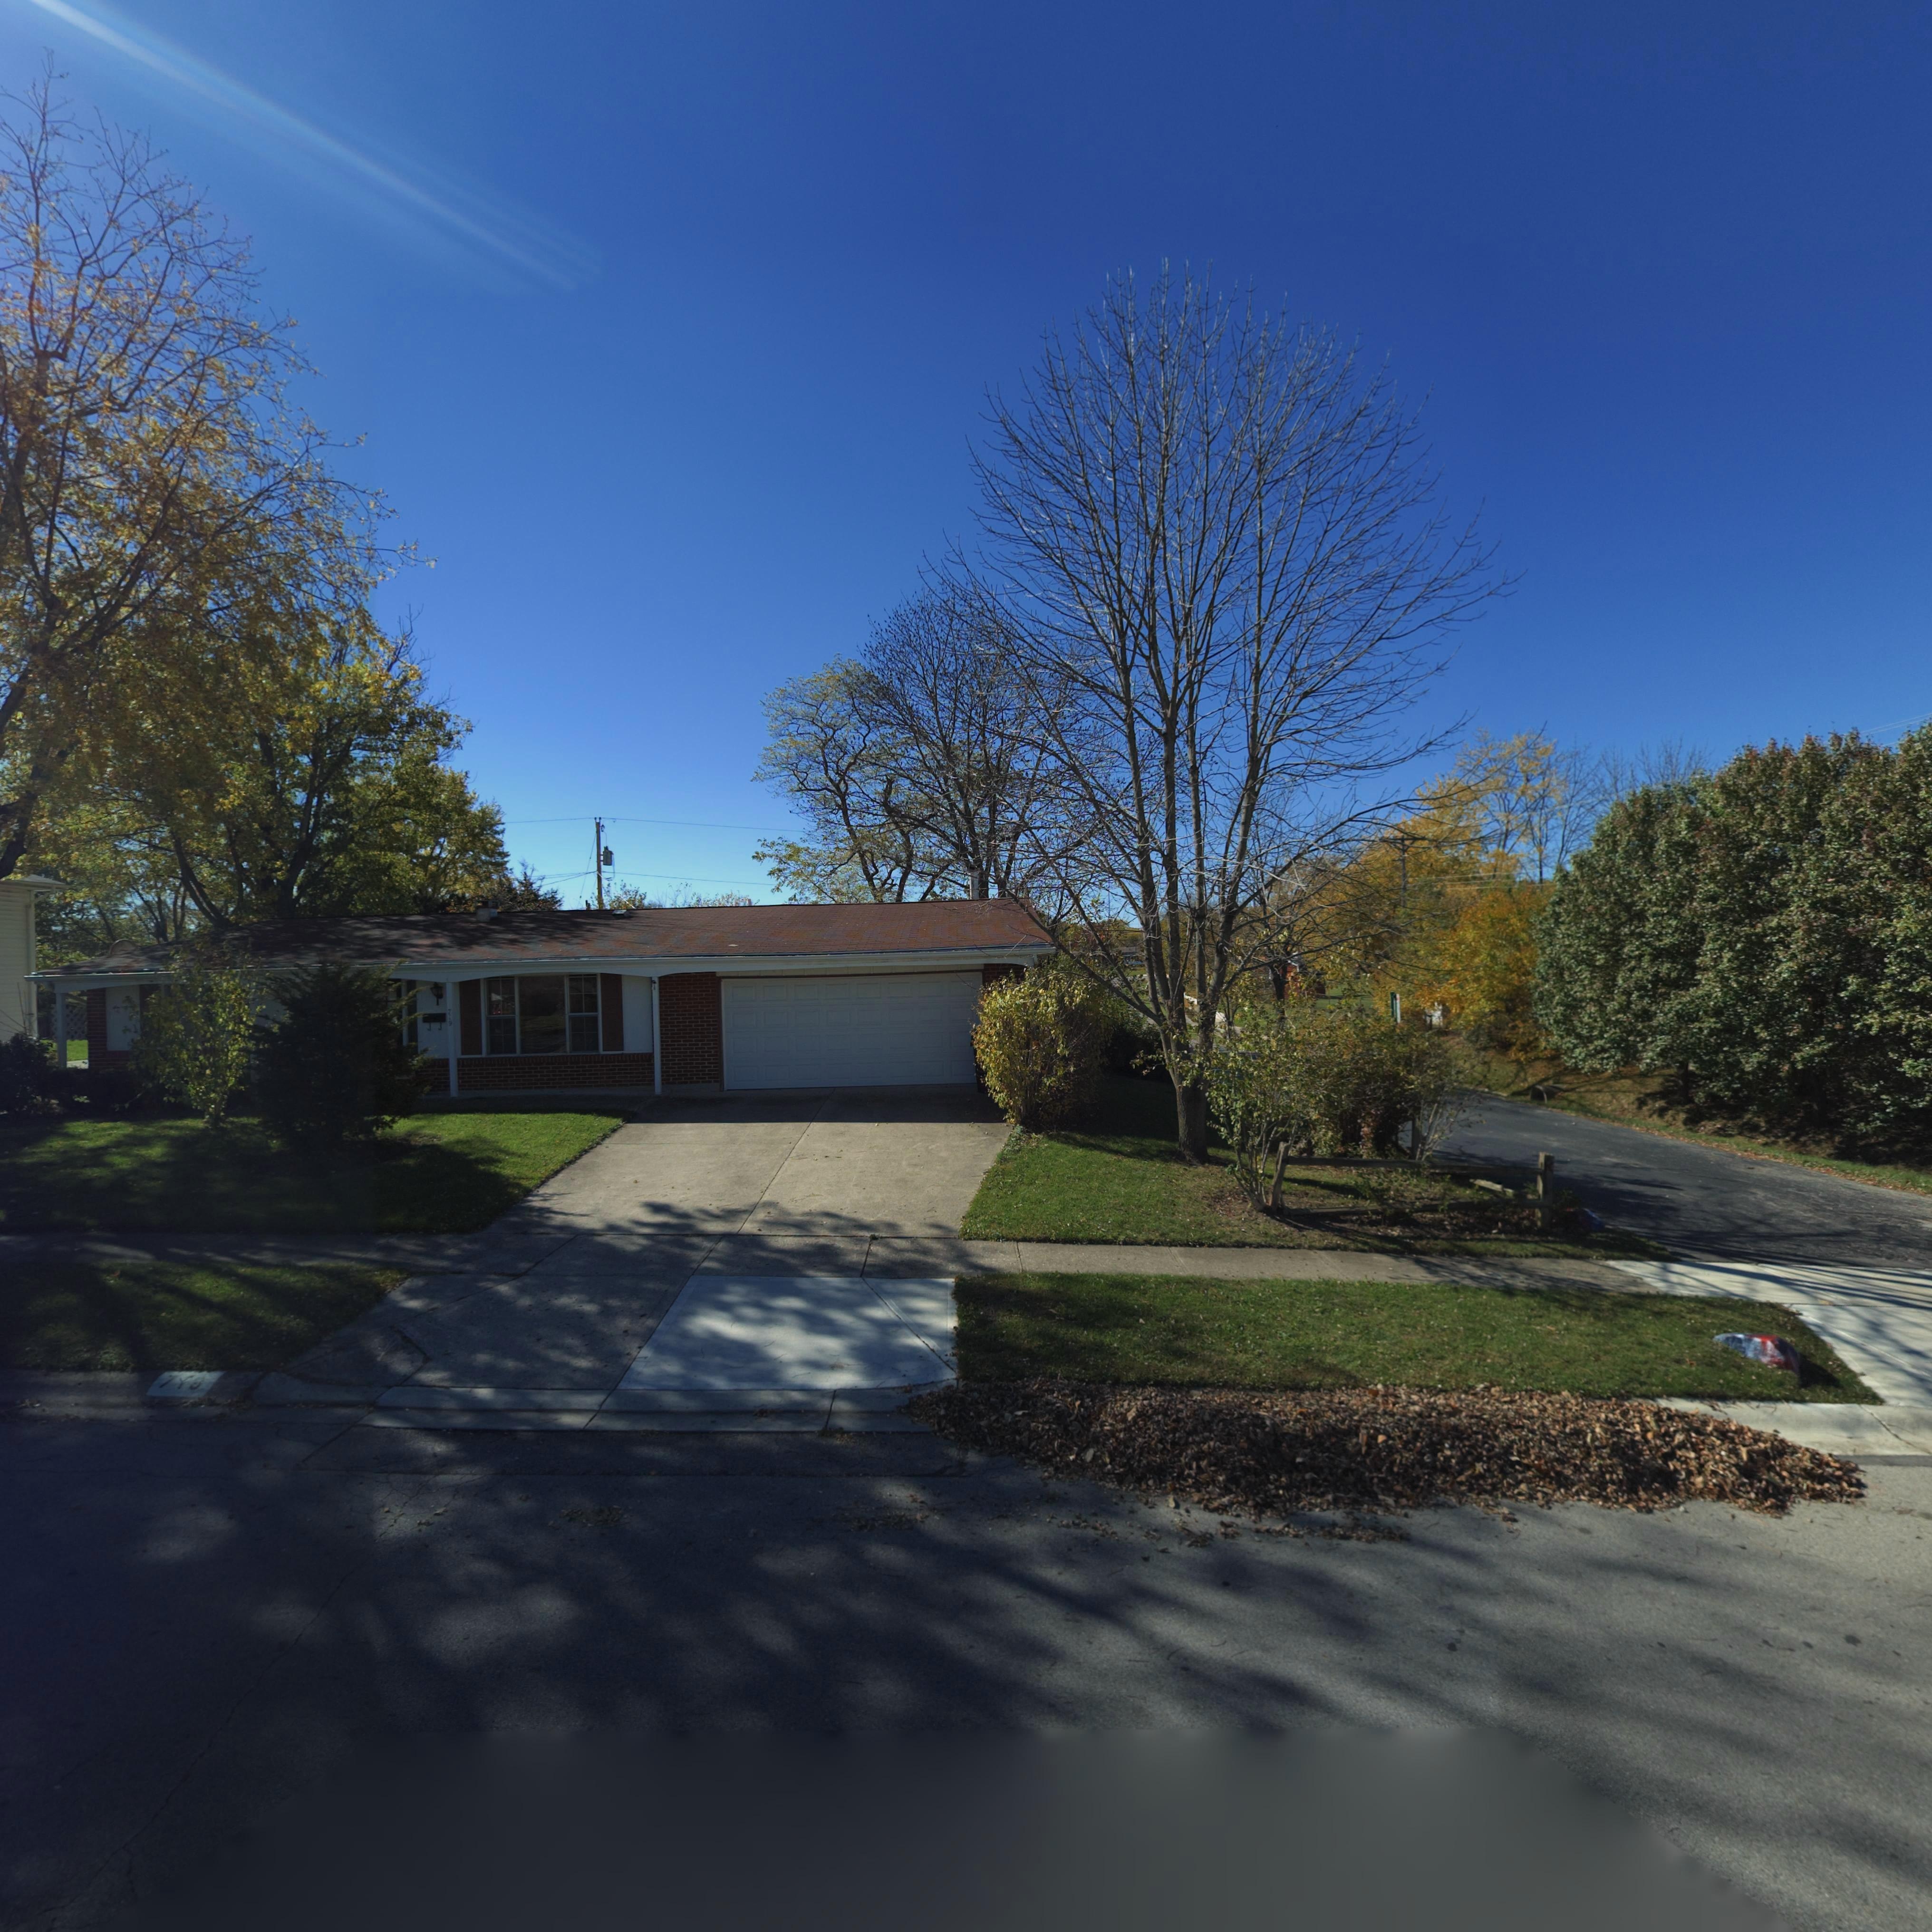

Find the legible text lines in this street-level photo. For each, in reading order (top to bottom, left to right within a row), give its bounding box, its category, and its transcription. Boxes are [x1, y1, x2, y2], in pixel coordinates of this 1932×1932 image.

[447, 1008, 454, 1028] StreetNumber: 719
[157, 1373, 208, 1391] StreetNumber: 7**